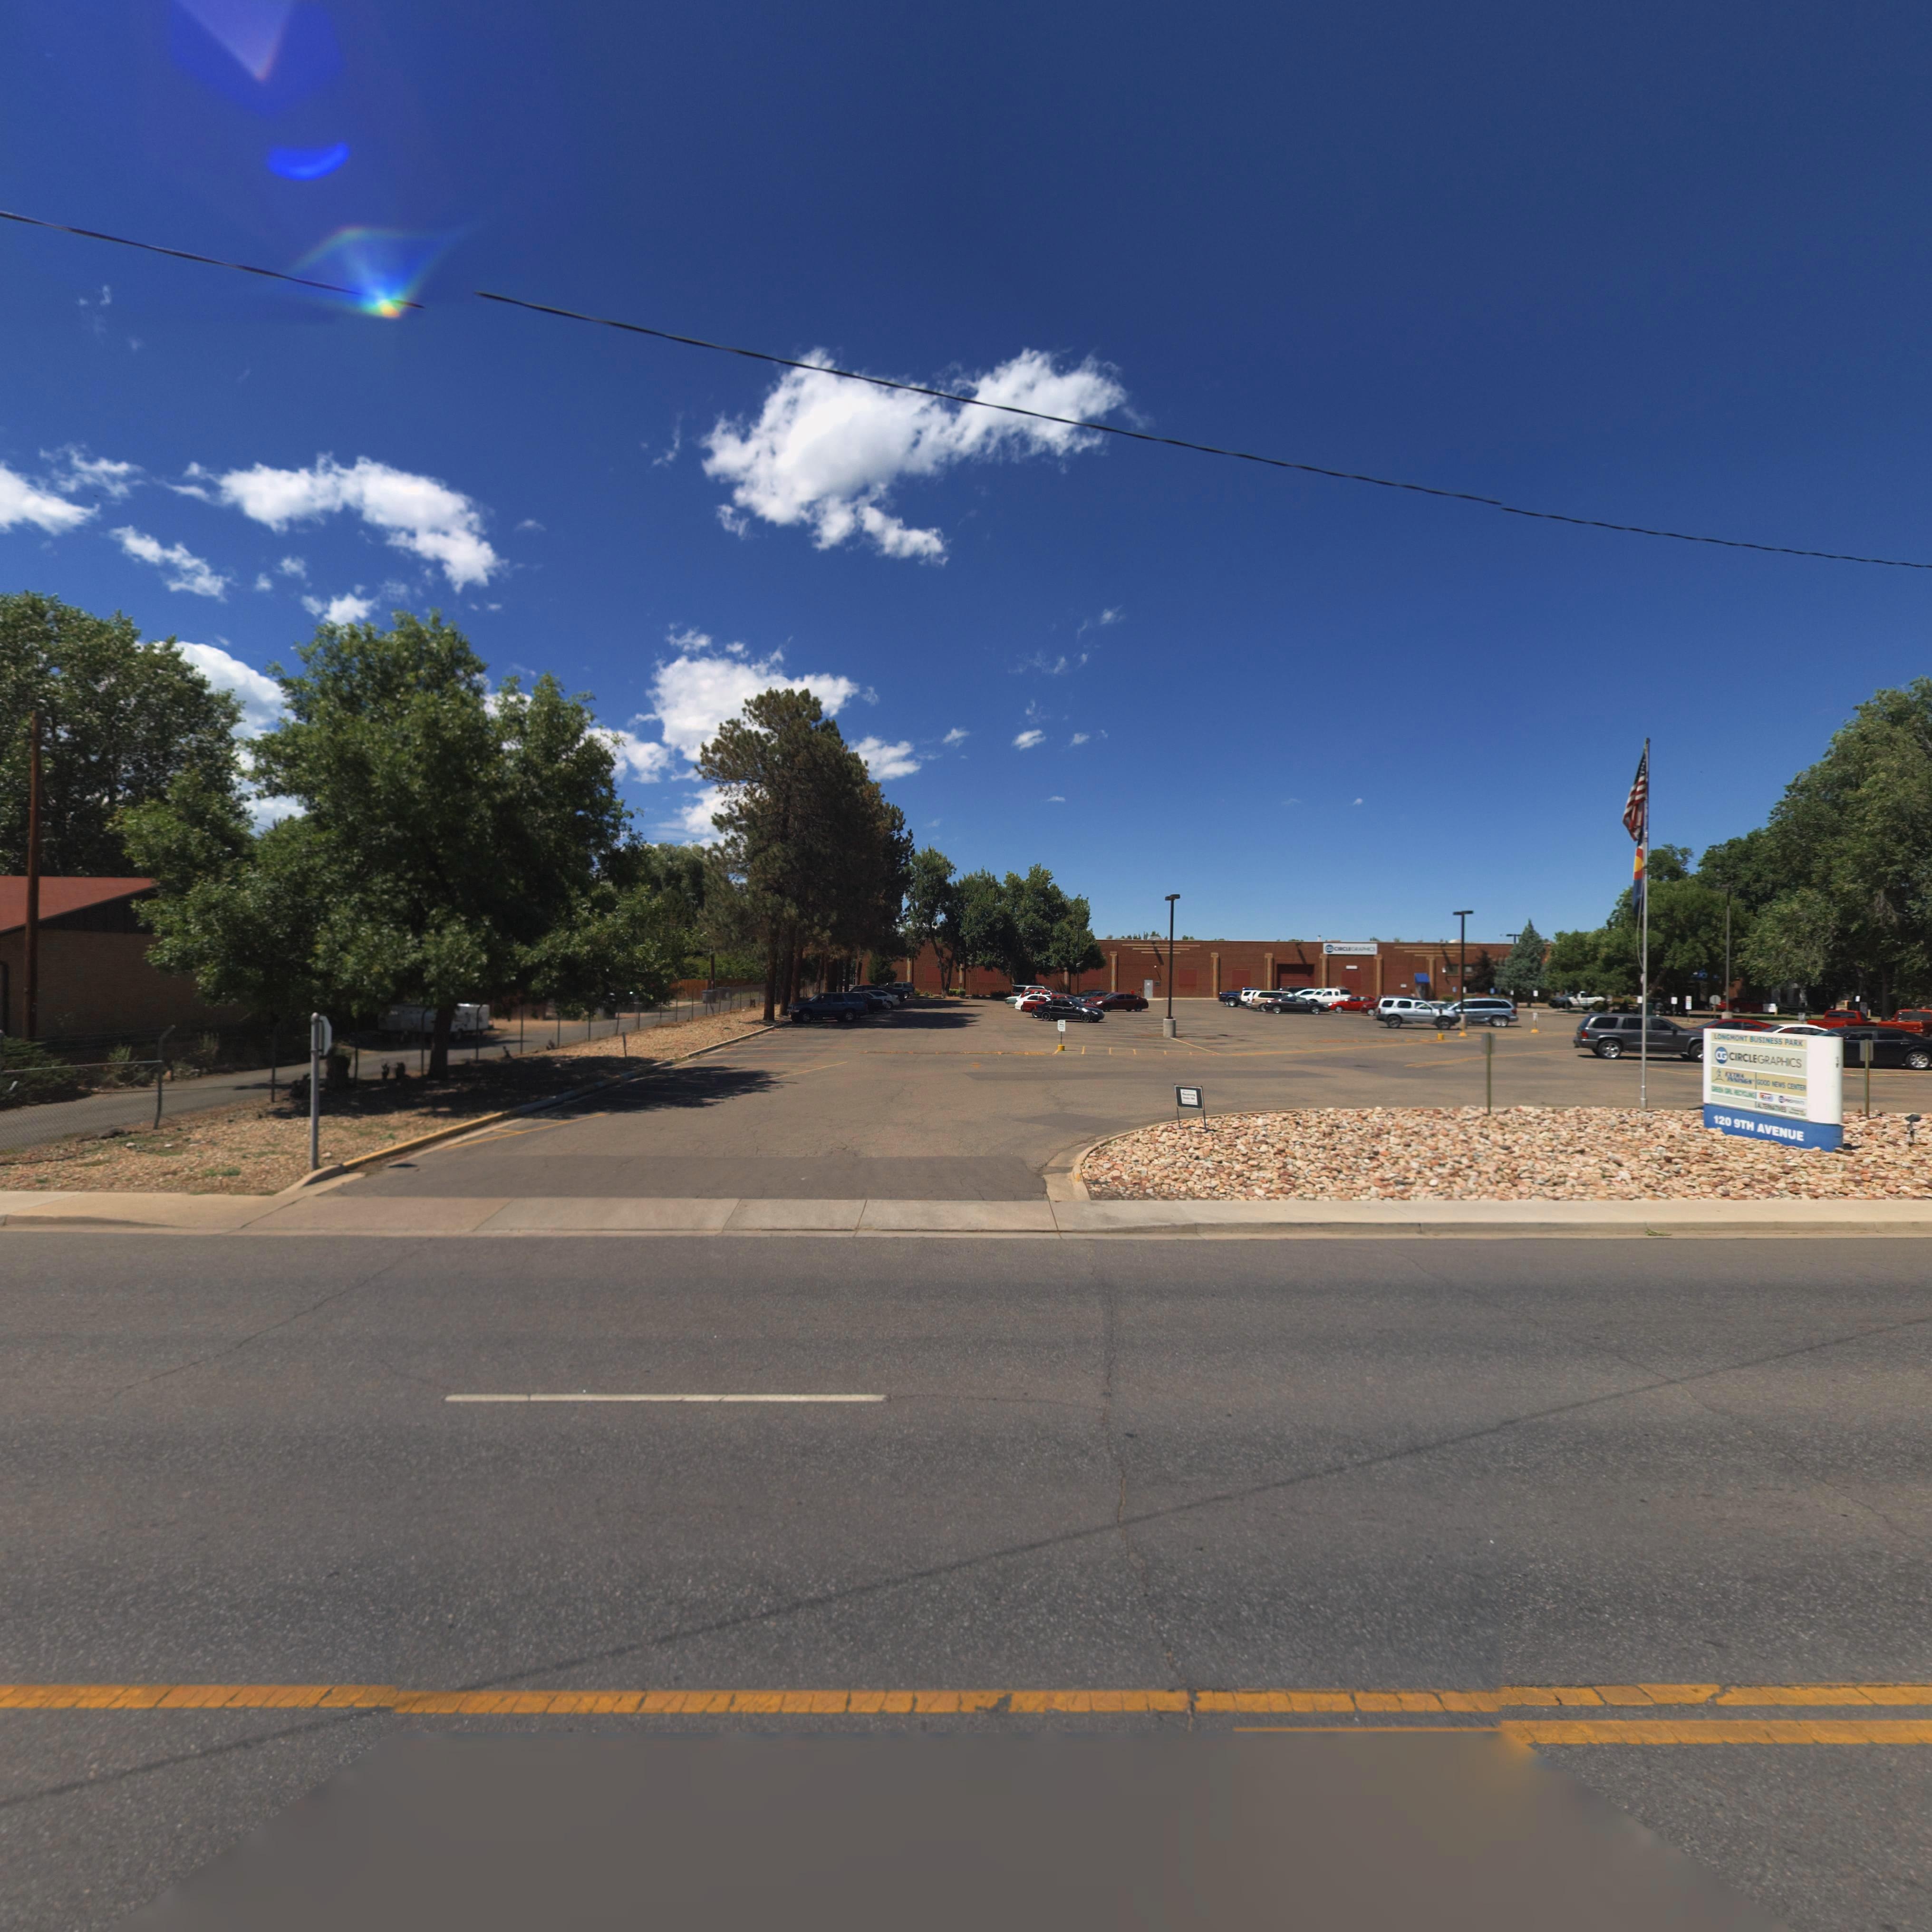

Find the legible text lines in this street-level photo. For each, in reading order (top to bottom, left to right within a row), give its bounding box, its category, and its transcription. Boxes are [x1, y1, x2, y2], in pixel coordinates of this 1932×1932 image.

[1333, 946, 1375, 952] BusinessName: CIRLCEG**HICS
[1729, 1052, 1802, 1068] BusinessName: CIRCLEGRAPHICS
[1725, 1071, 1744, 1079] BusinessName: EXTRA
[1756, 1079, 1806, 1092] BusinessName: GOOD NEWS CENTER
[1710, 1085, 1756, 1099] BusinessName: GREEN  *A* RECYCL*NG
[1713, 1114, 1731, 1126] StreetNumber: 120
[1733, 1118, 1804, 1142] StreetName: 9TH AVENUE